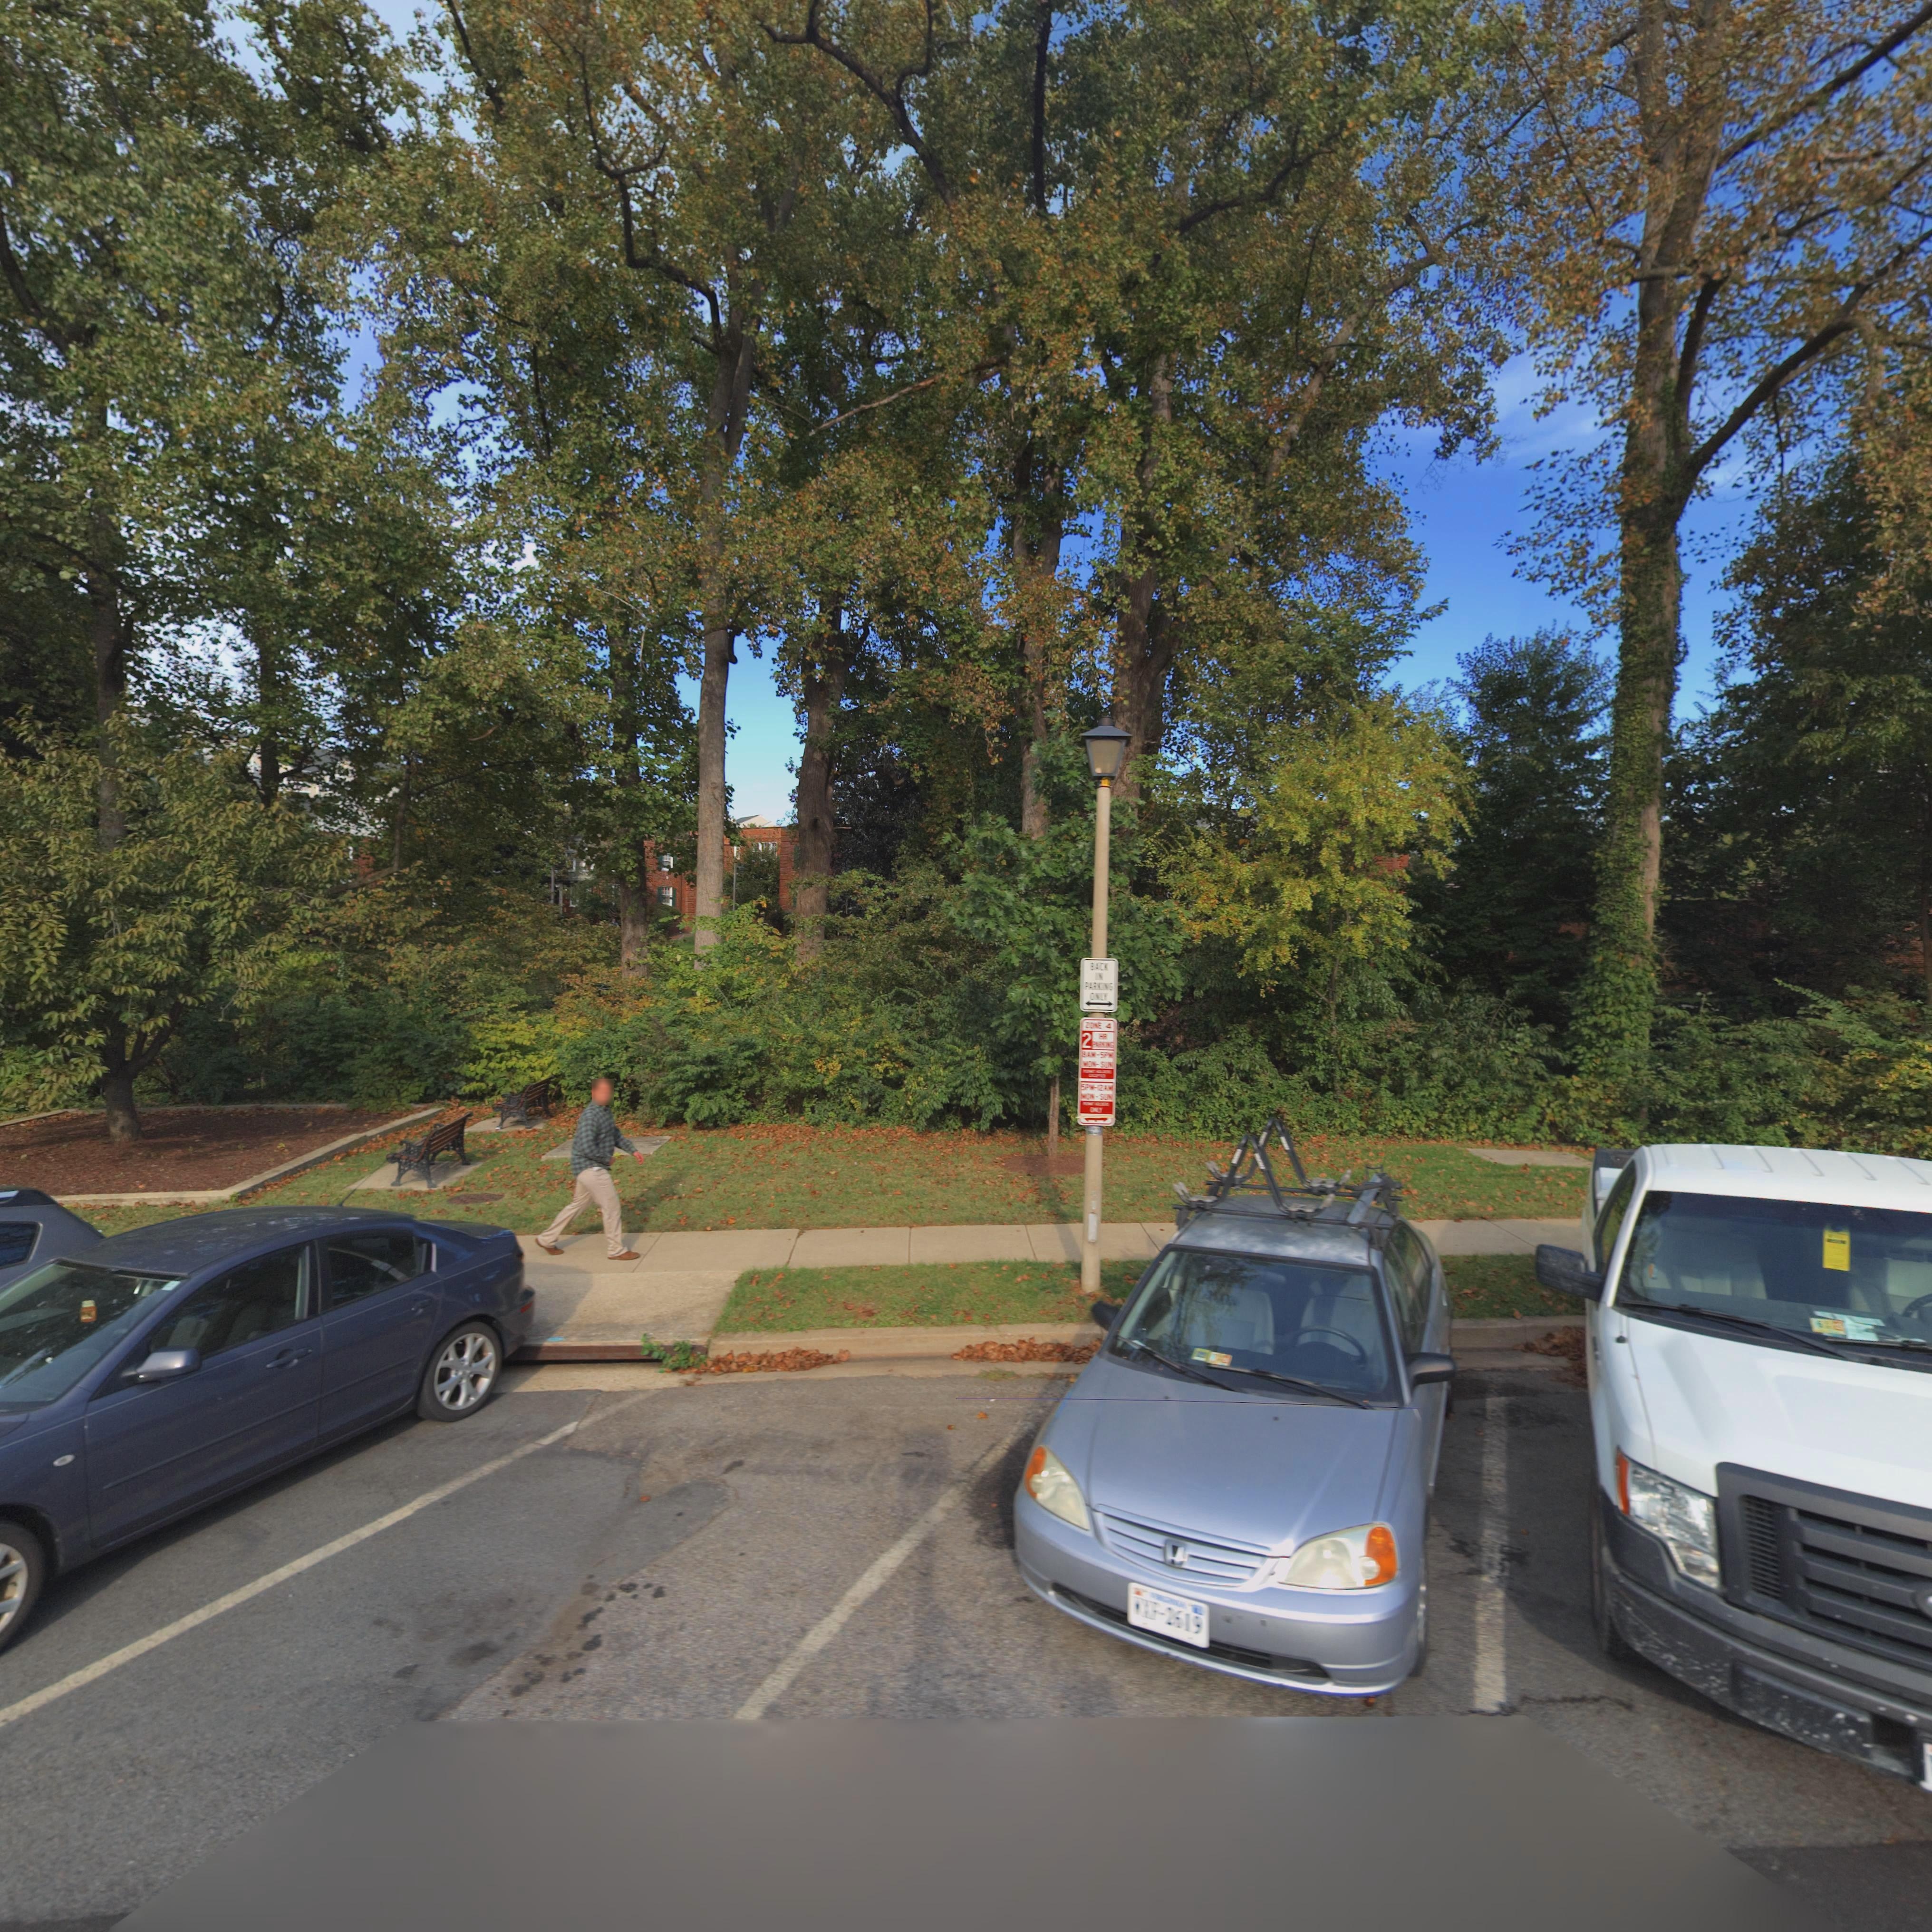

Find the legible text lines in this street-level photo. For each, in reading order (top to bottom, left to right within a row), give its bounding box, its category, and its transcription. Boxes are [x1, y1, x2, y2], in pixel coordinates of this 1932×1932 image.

[1089, 962, 1109, 971] None: BACK
[1094, 971, 1104, 981] None: IN
[1083, 981, 1114, 991] None: PARKING
[1089, 992, 1109, 1001] None: ONLY
[1085, 1022, 1111, 1029] None: ZONE 4
[1081, 1032, 1092, 1050] None: 2
[1081, 1051, 1114, 1059] None: 8AM-5PM
[1082, 1061, 1114, 1068] None: MON-SUN
[1080, 1083, 1114, 1092] None: 5PM-12AM
[1081, 1093, 1113, 1101] None: MON-SUN
[1089, 1107, 1103, 1113] None: ONLY
[1148, 1599, 1205, 1636] None: F-2619